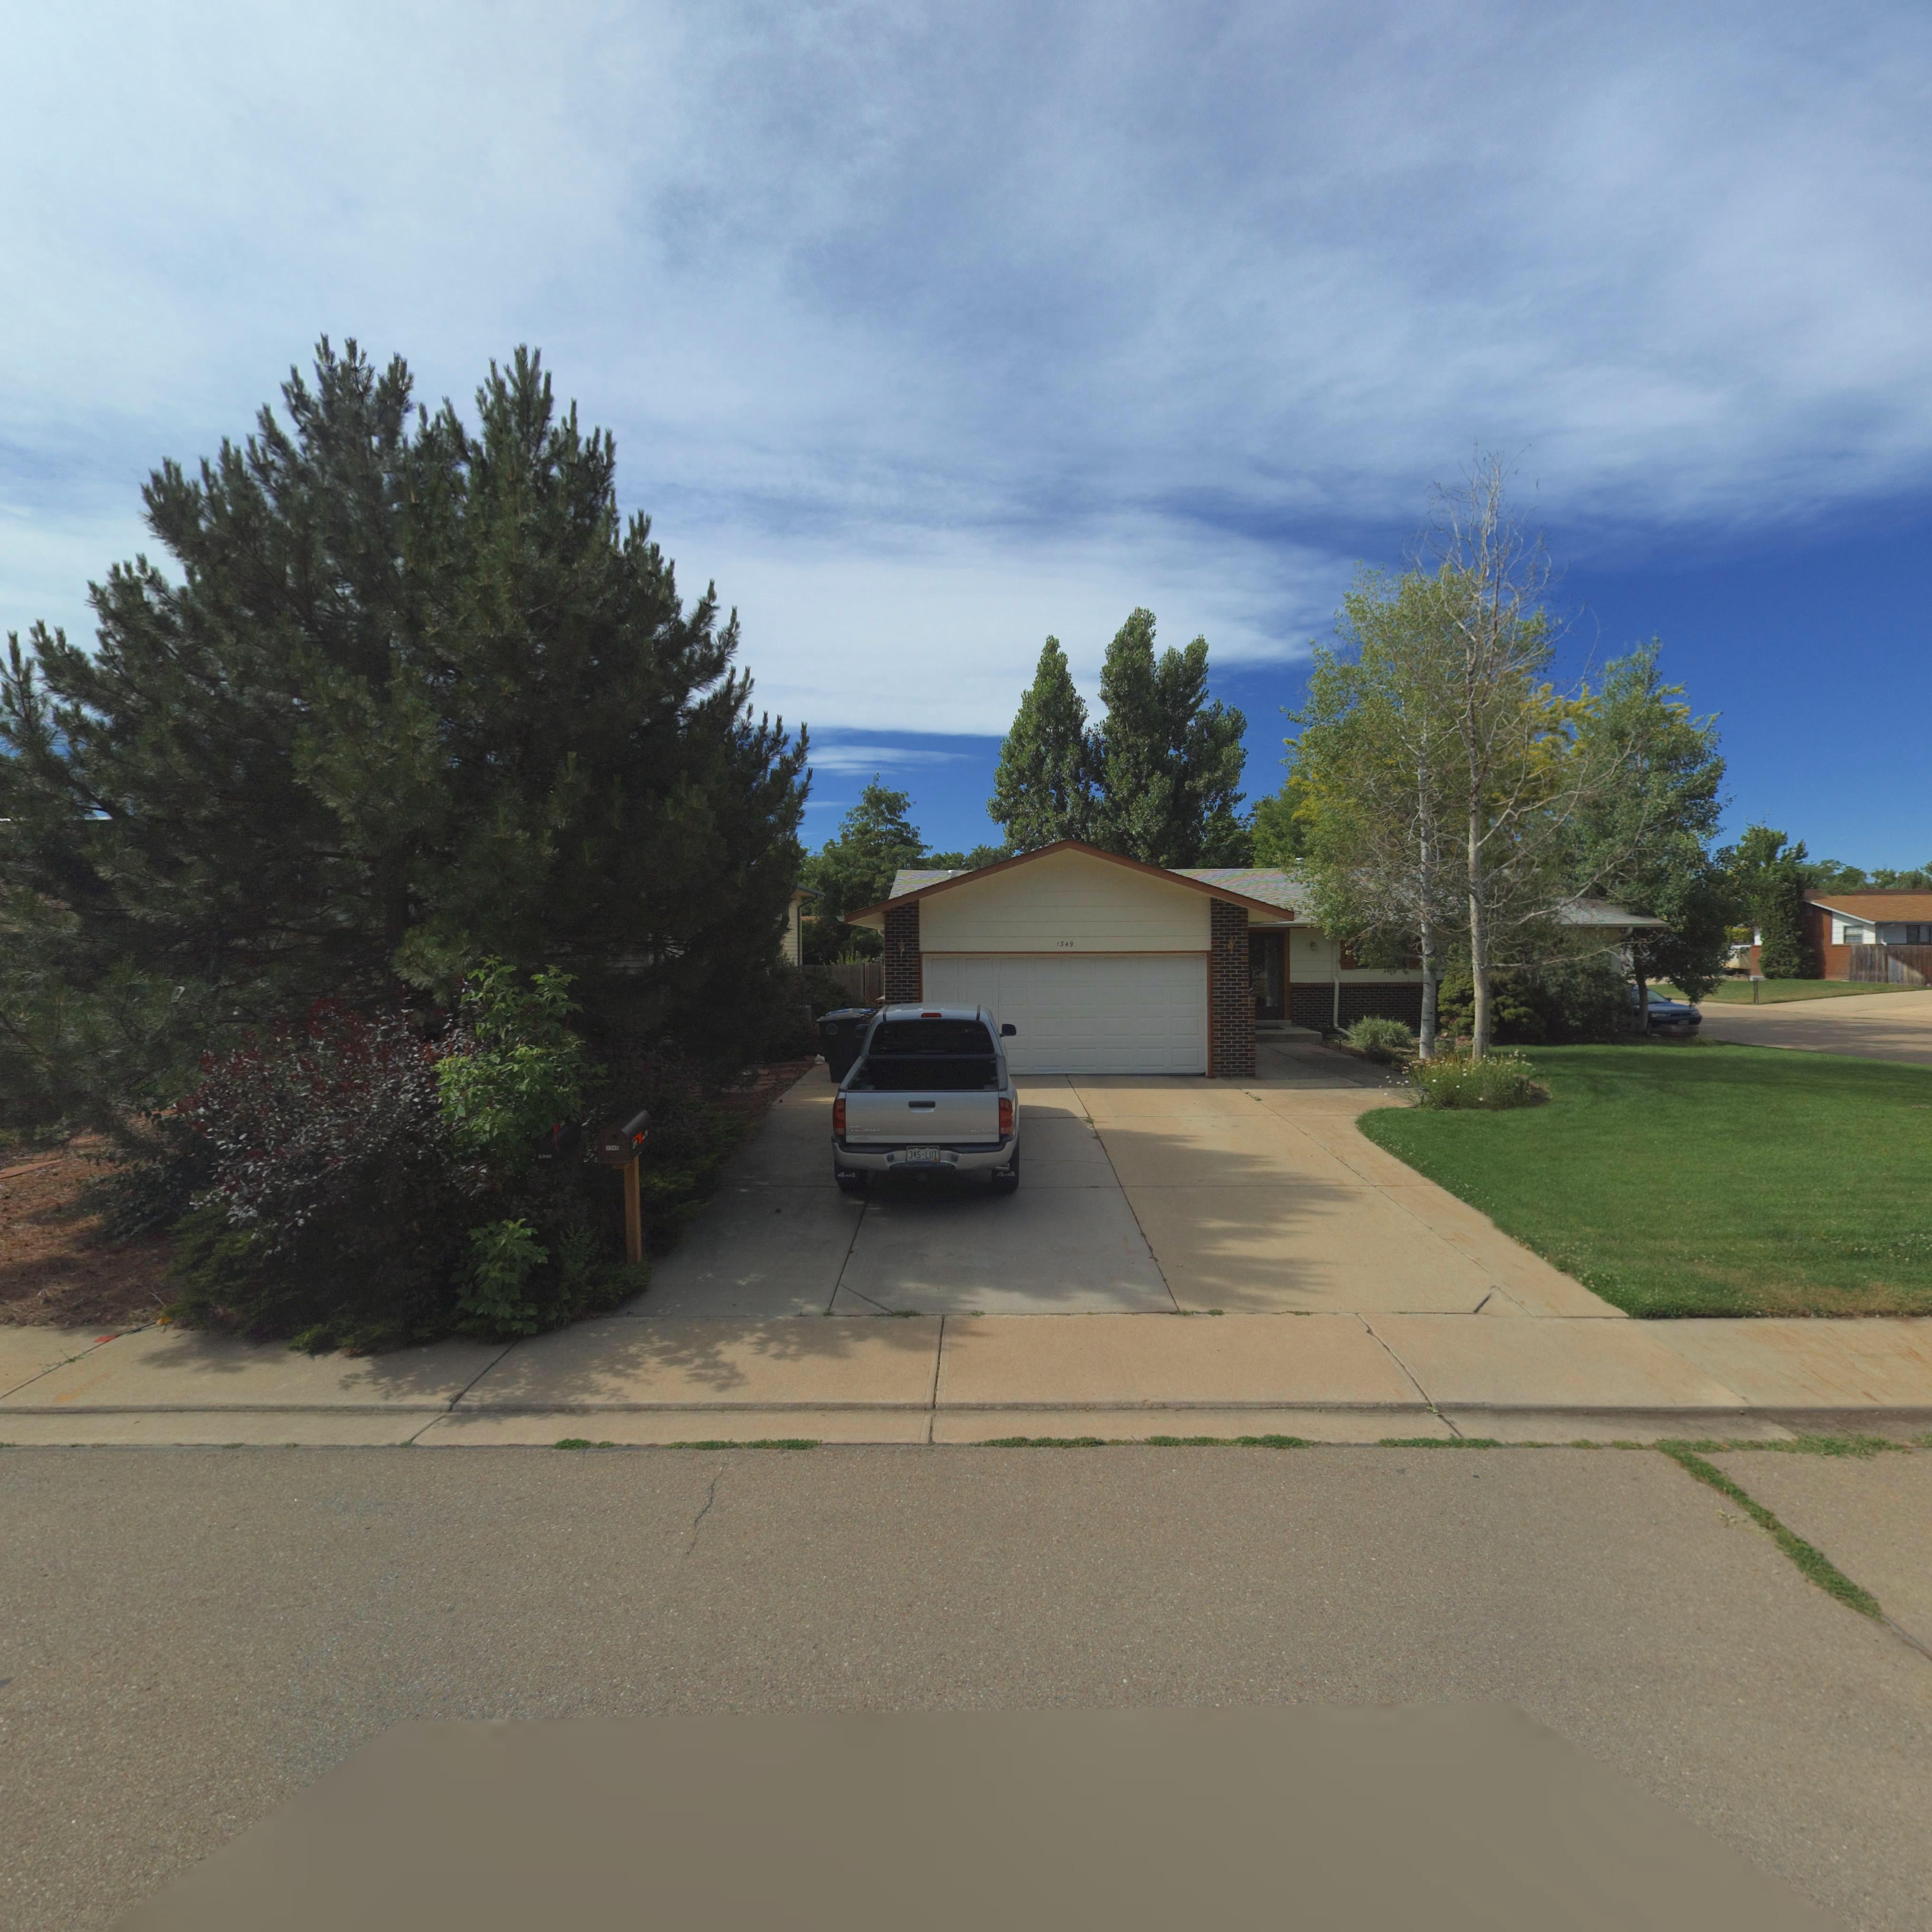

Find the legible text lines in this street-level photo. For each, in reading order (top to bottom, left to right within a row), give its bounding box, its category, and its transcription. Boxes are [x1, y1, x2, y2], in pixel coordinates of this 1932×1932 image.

[1056, 940, 1073, 947] StreetNumber: 1349
[607, 1145, 619, 1150] StreetNumber: 134*`
[538, 1154, 552, 1159] StreetNumber: 1***